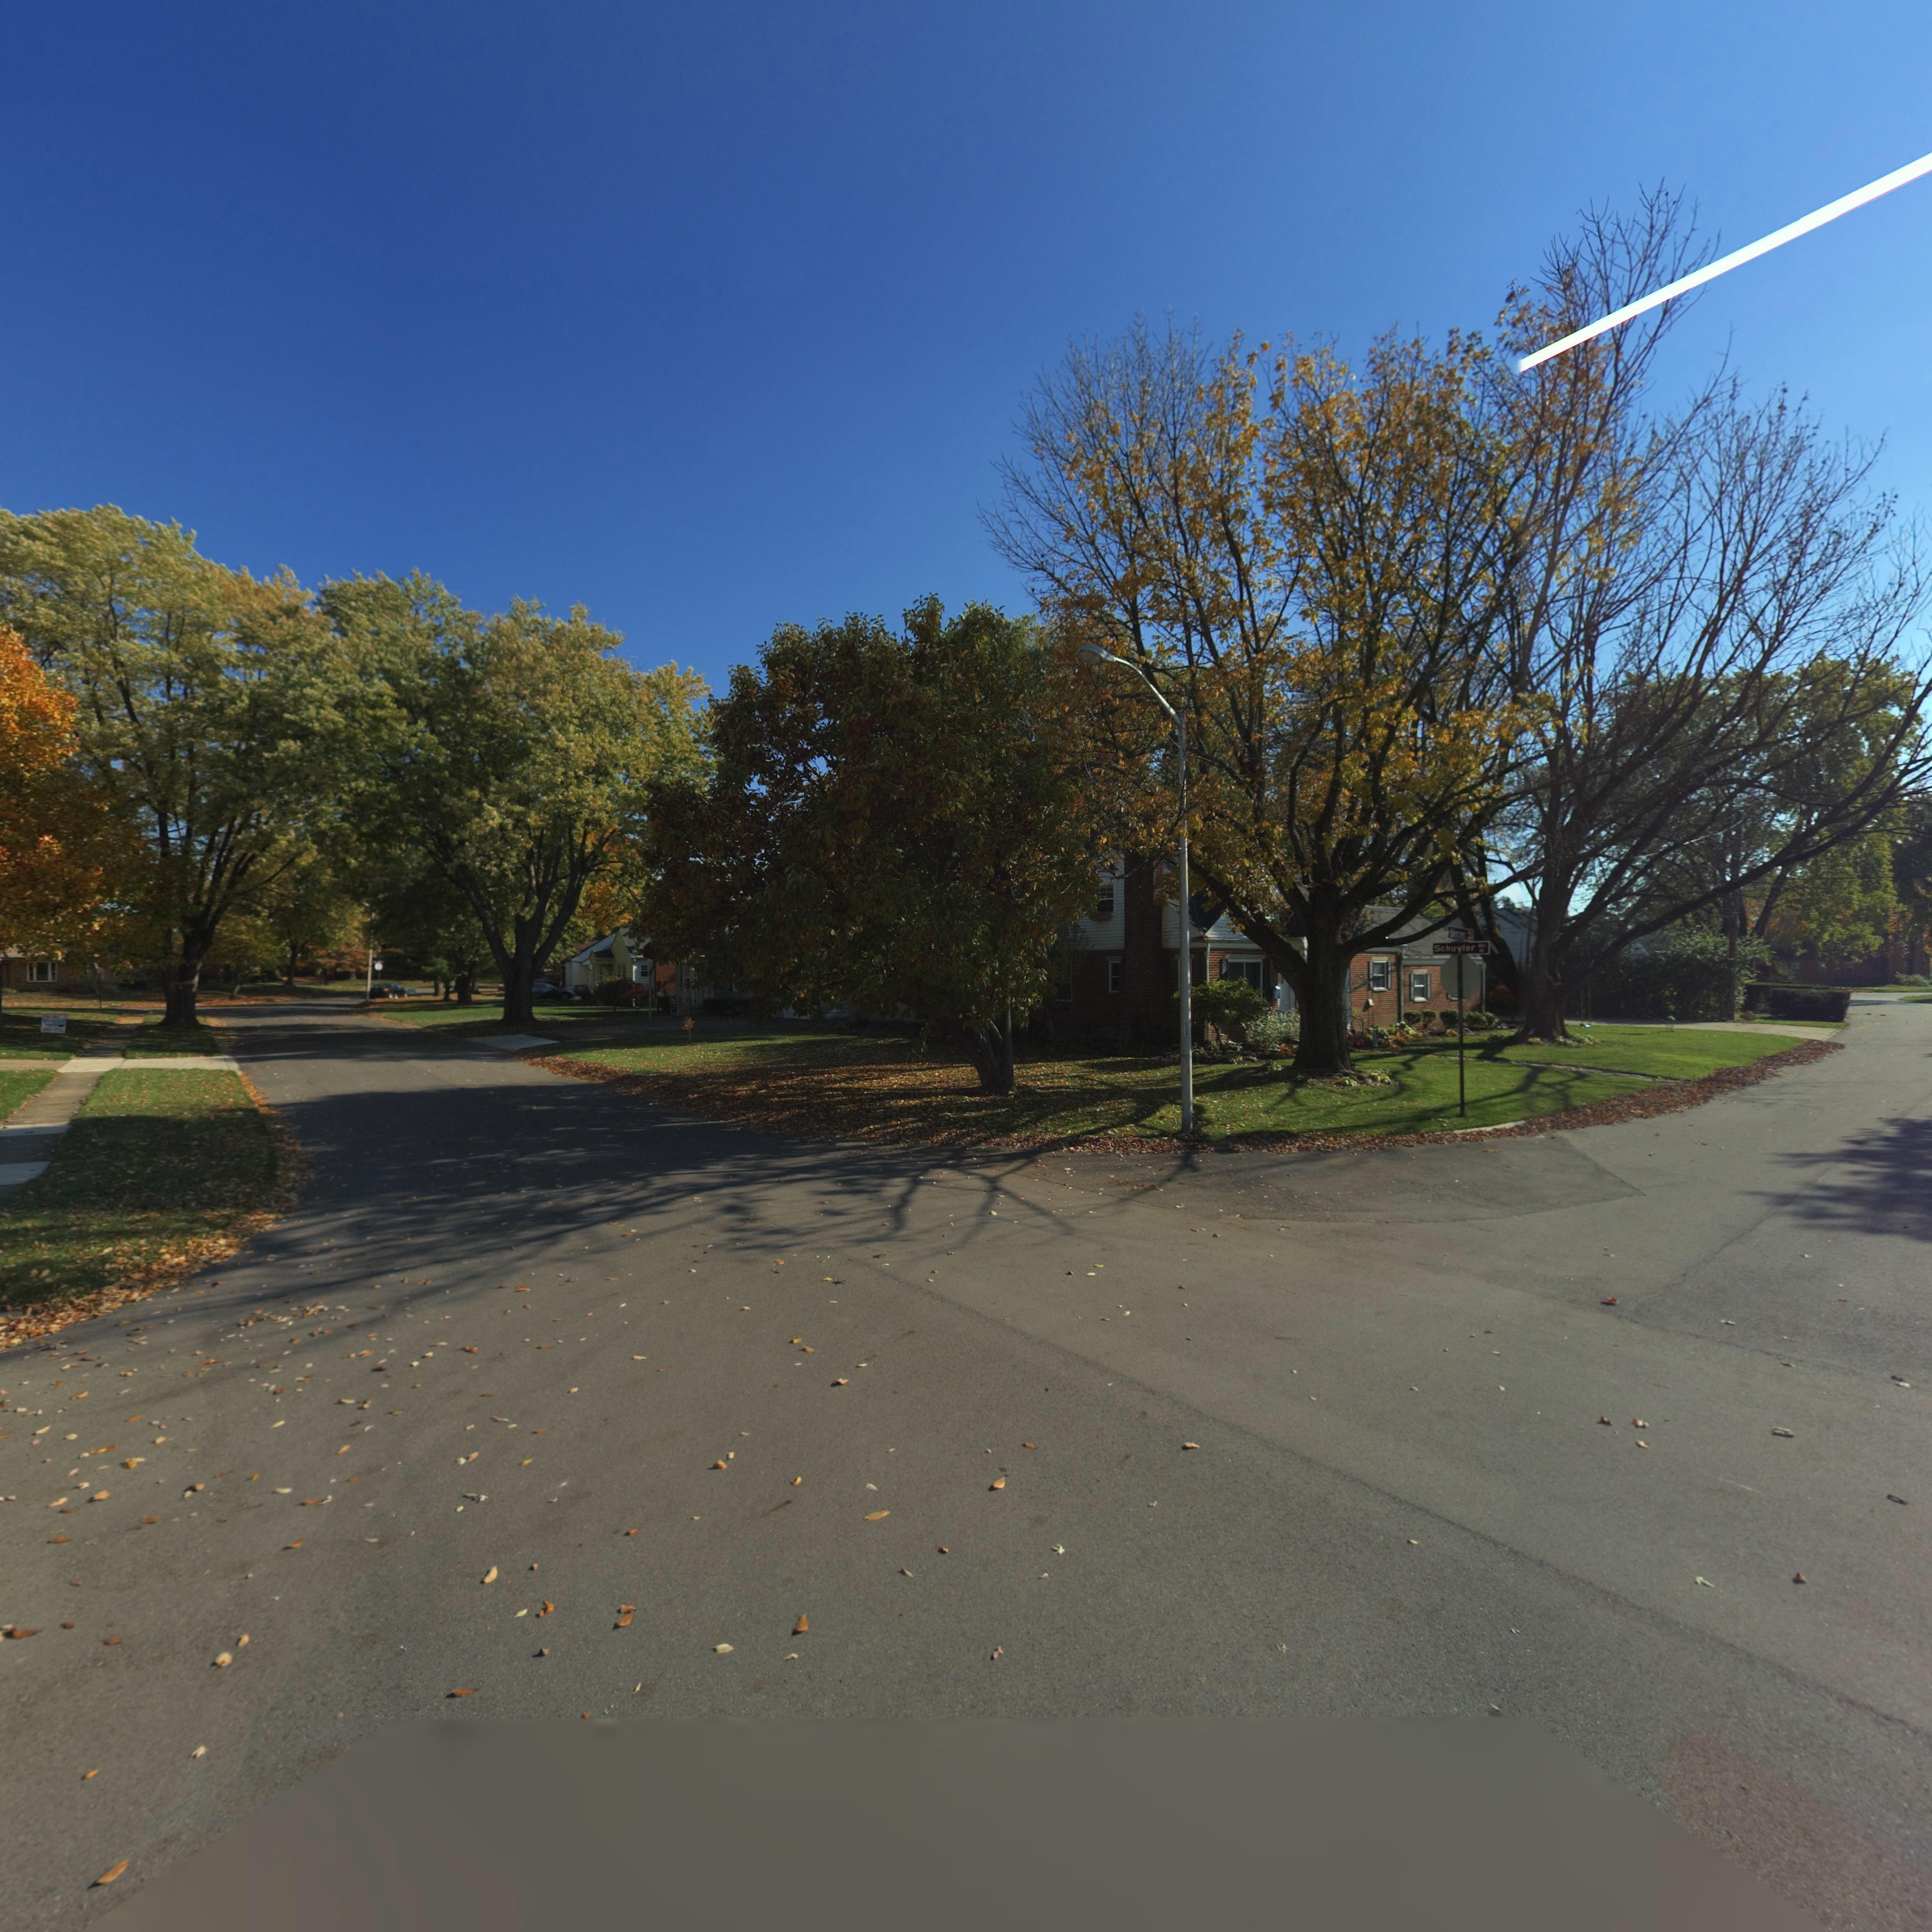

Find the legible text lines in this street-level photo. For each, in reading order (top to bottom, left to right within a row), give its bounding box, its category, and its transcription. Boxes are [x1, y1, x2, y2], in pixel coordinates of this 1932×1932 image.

[1449, 928, 1466, 940] StreetName: Storms
[1434, 943, 1486, 954] StreetName: Schuyler Dr
[41, 1027, 65, 1033] None: 2*9*6***